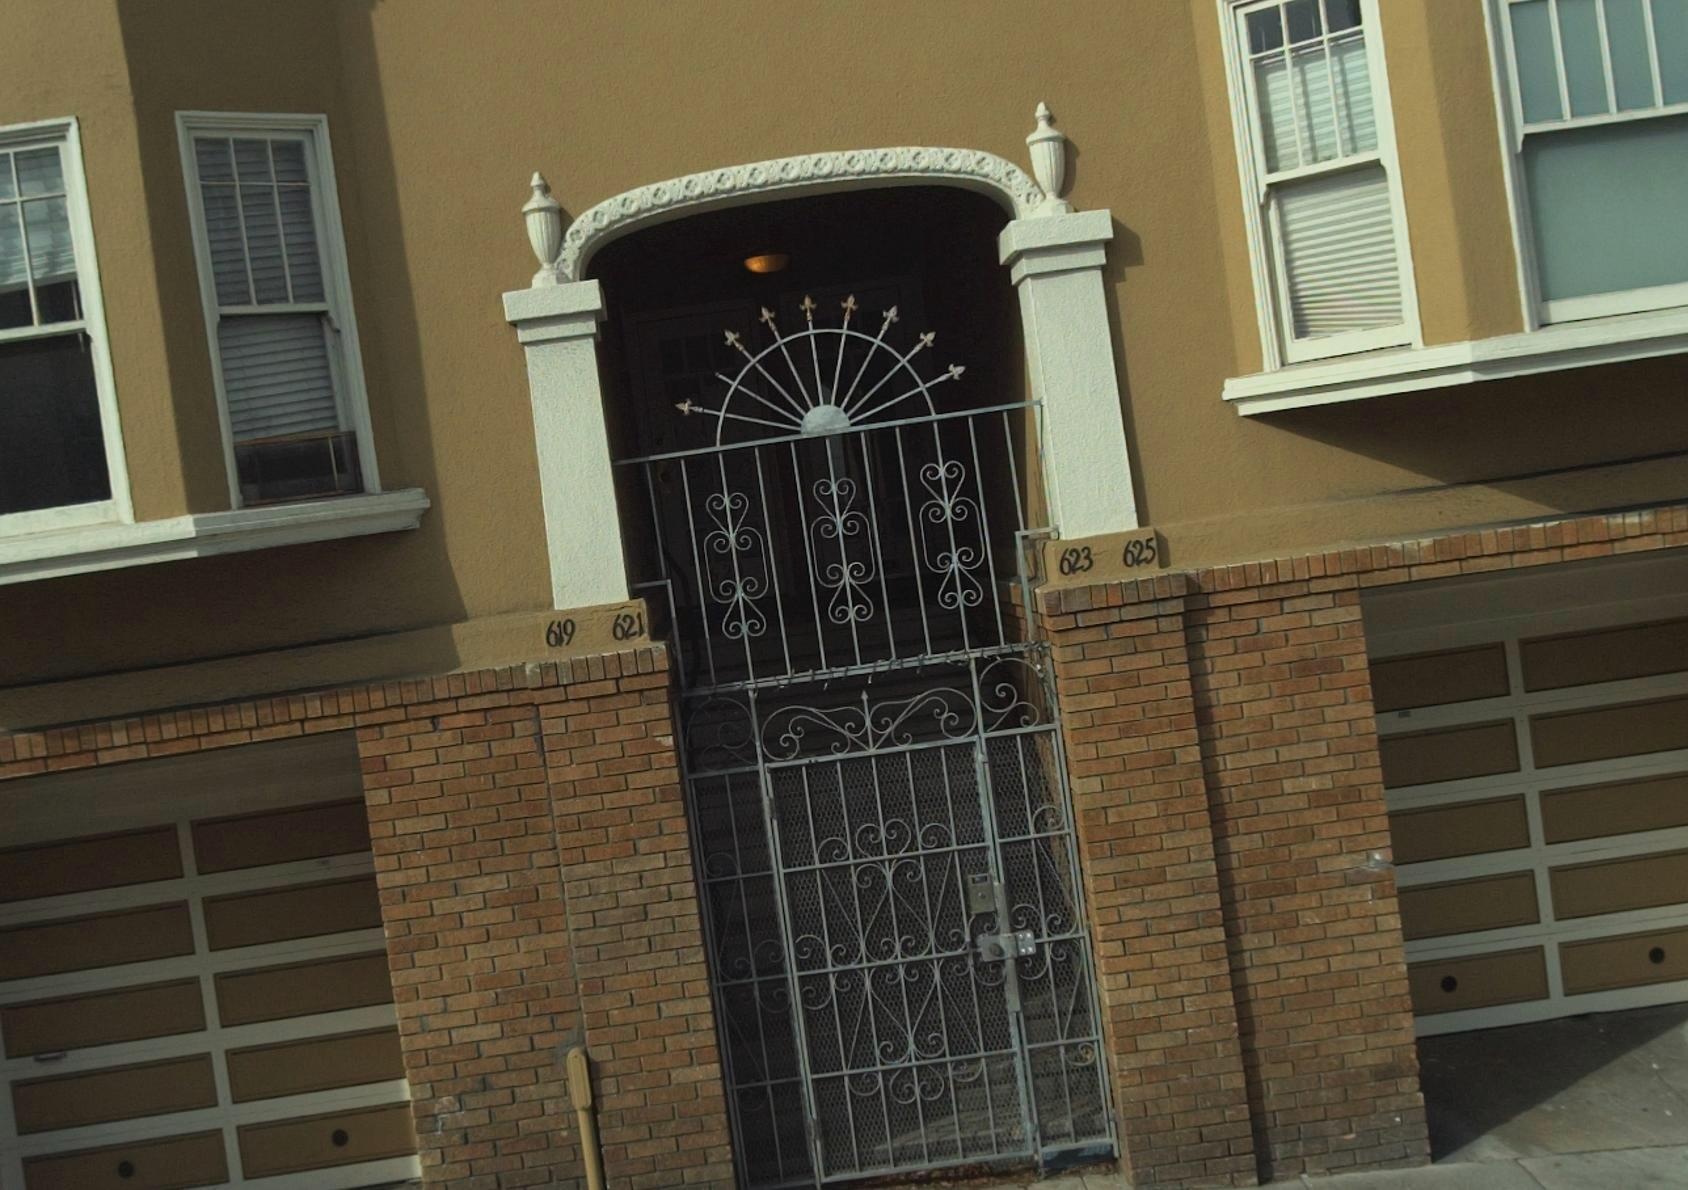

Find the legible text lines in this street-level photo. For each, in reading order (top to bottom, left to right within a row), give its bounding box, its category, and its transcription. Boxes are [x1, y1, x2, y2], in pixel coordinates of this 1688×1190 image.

[1056, 542, 1096, 580] StreetNumber: 623
[1119, 532, 1159, 572] StreetNumber: 625
[544, 615, 577, 651] StreetNumber: 619
[609, 607, 648, 645] StreetNumber: 621